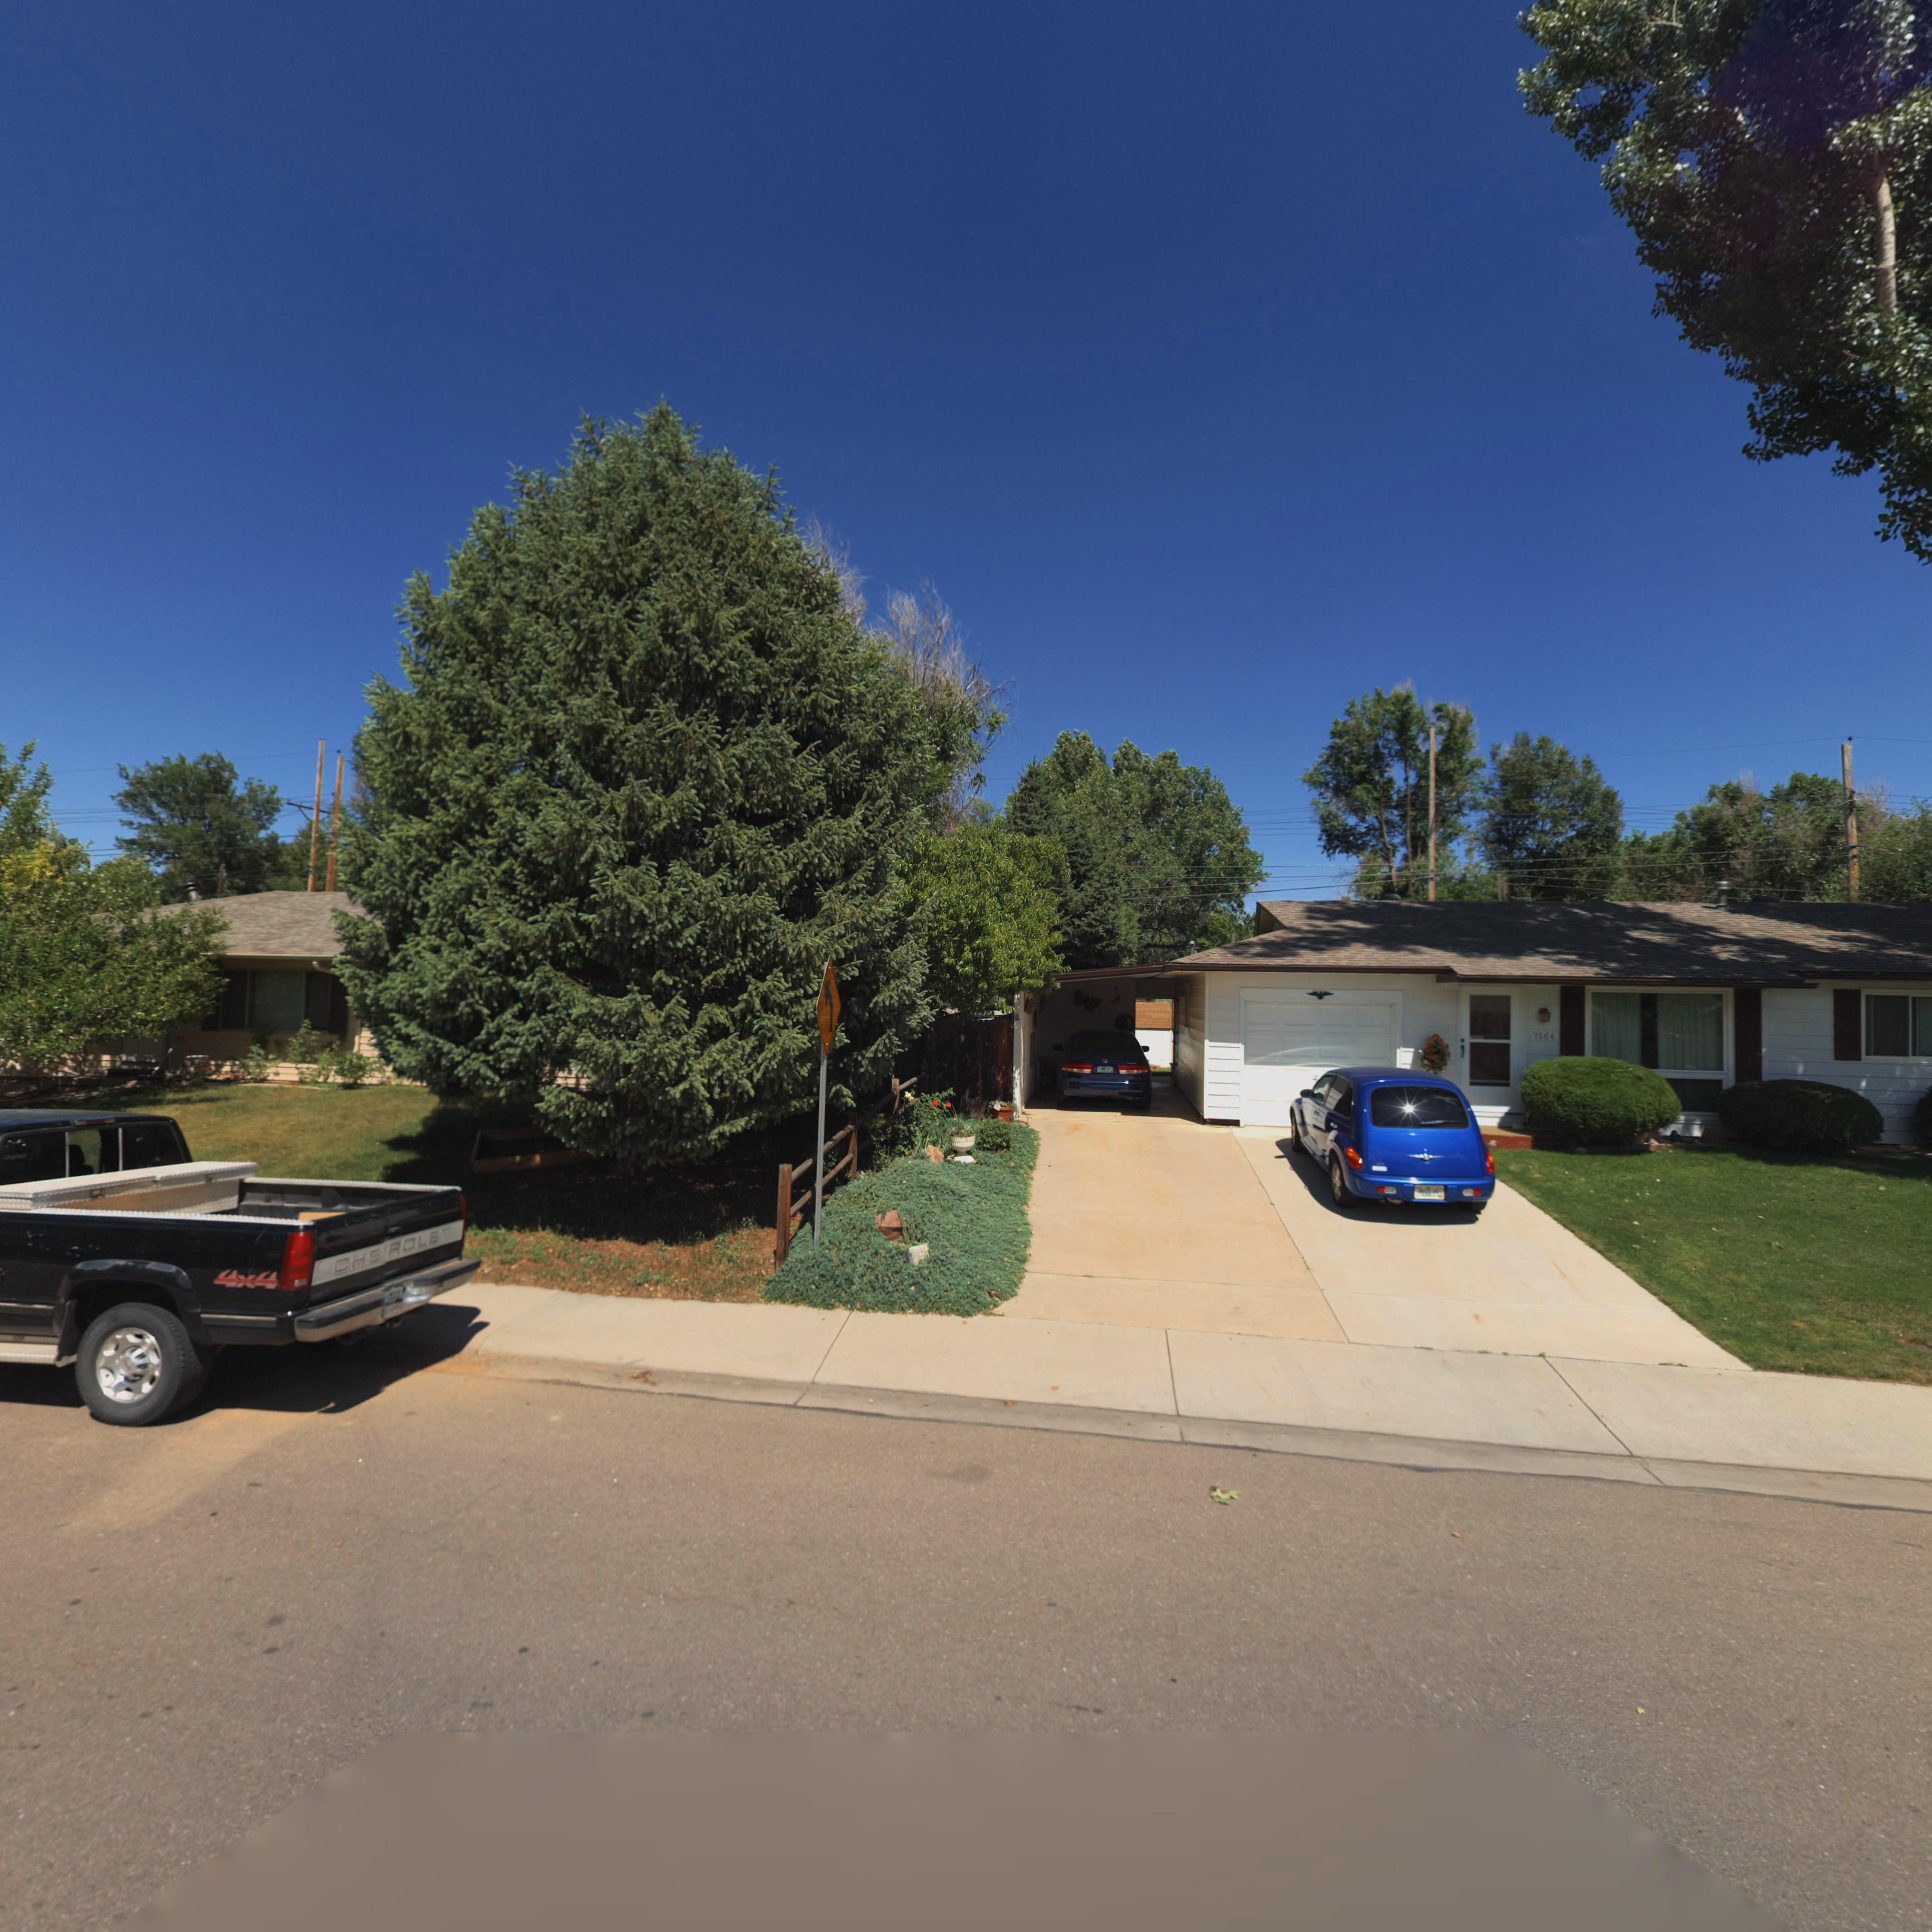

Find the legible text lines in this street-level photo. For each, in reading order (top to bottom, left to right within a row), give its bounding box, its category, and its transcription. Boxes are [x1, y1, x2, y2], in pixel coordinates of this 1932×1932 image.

[1534, 1032, 1555, 1040] StreetNumber: 1564